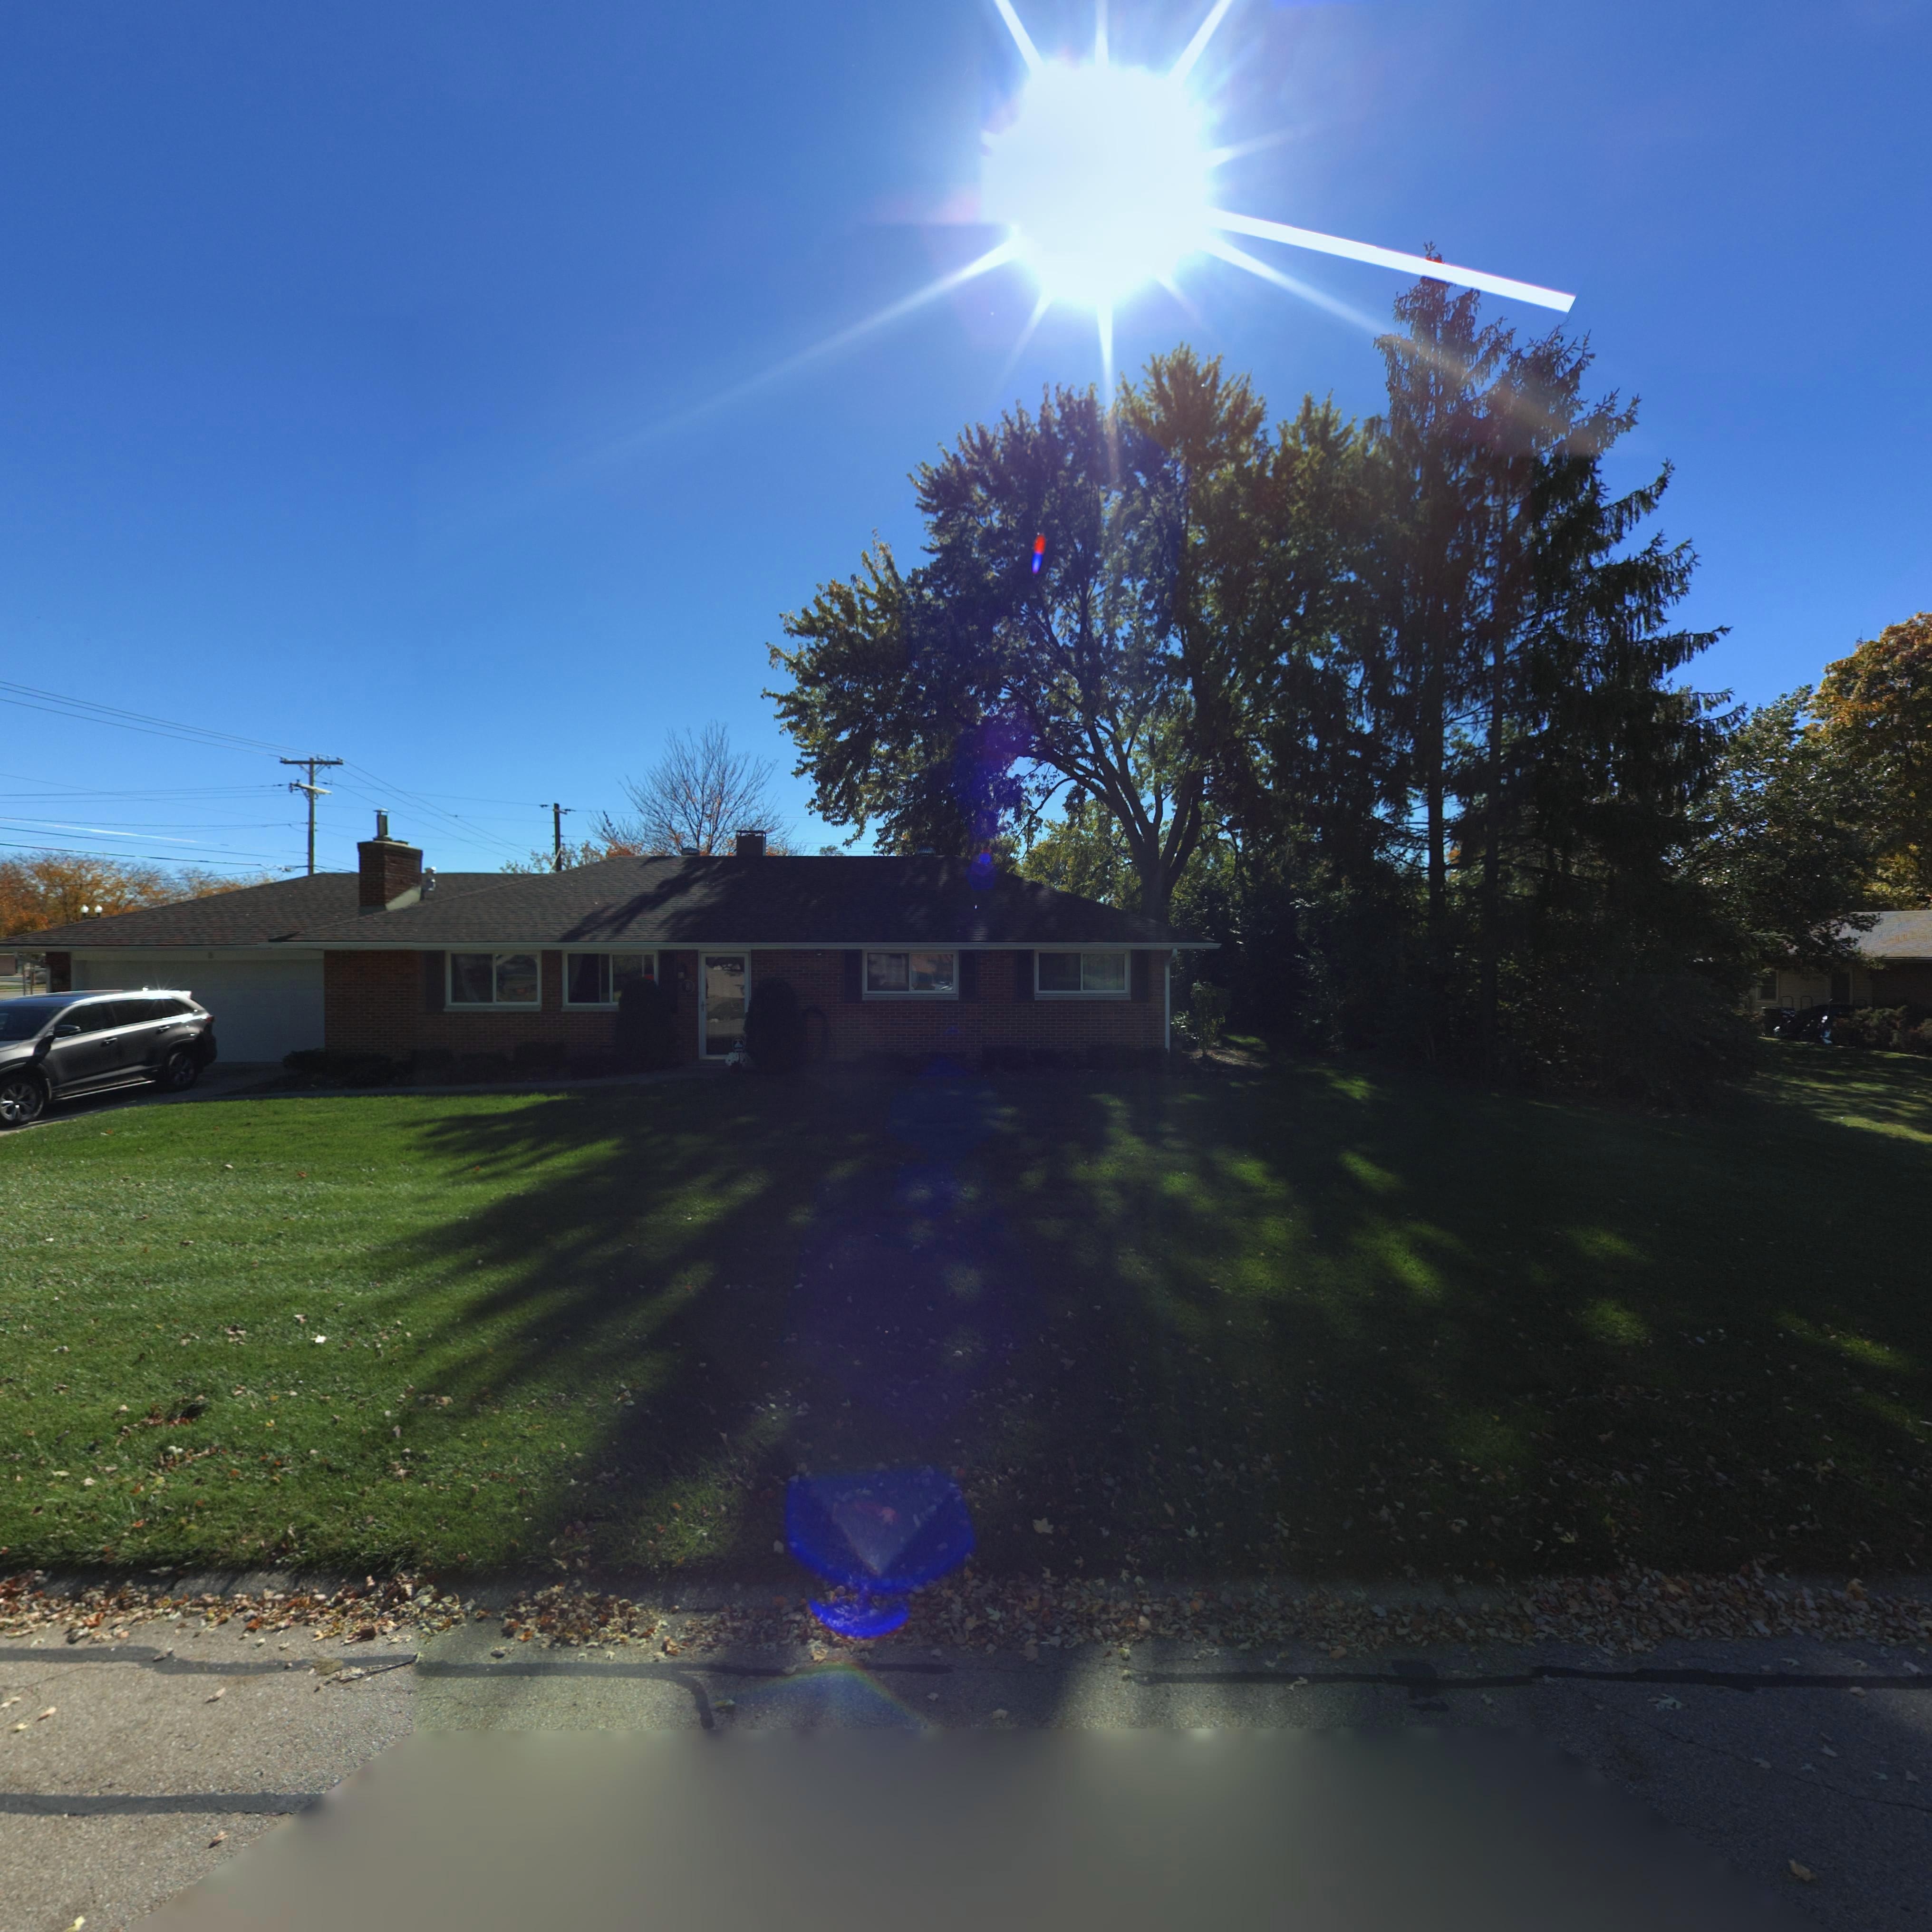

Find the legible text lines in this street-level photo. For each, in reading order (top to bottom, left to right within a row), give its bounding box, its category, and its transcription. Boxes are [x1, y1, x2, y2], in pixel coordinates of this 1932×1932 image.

[685, 982, 690, 991] StreetNumber: 8